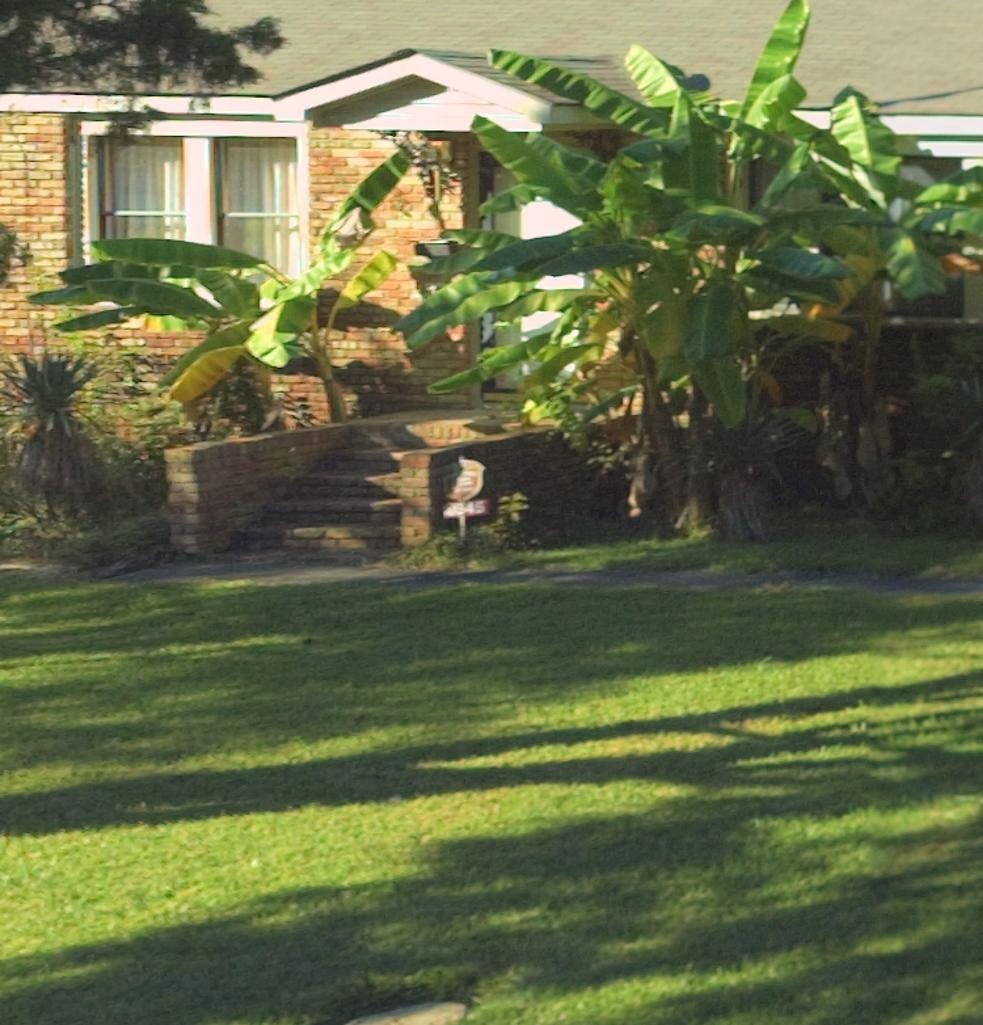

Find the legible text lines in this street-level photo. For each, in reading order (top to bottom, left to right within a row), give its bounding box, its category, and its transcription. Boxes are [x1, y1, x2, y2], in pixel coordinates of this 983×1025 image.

[443, 500, 486, 517] StreetNumber: **545